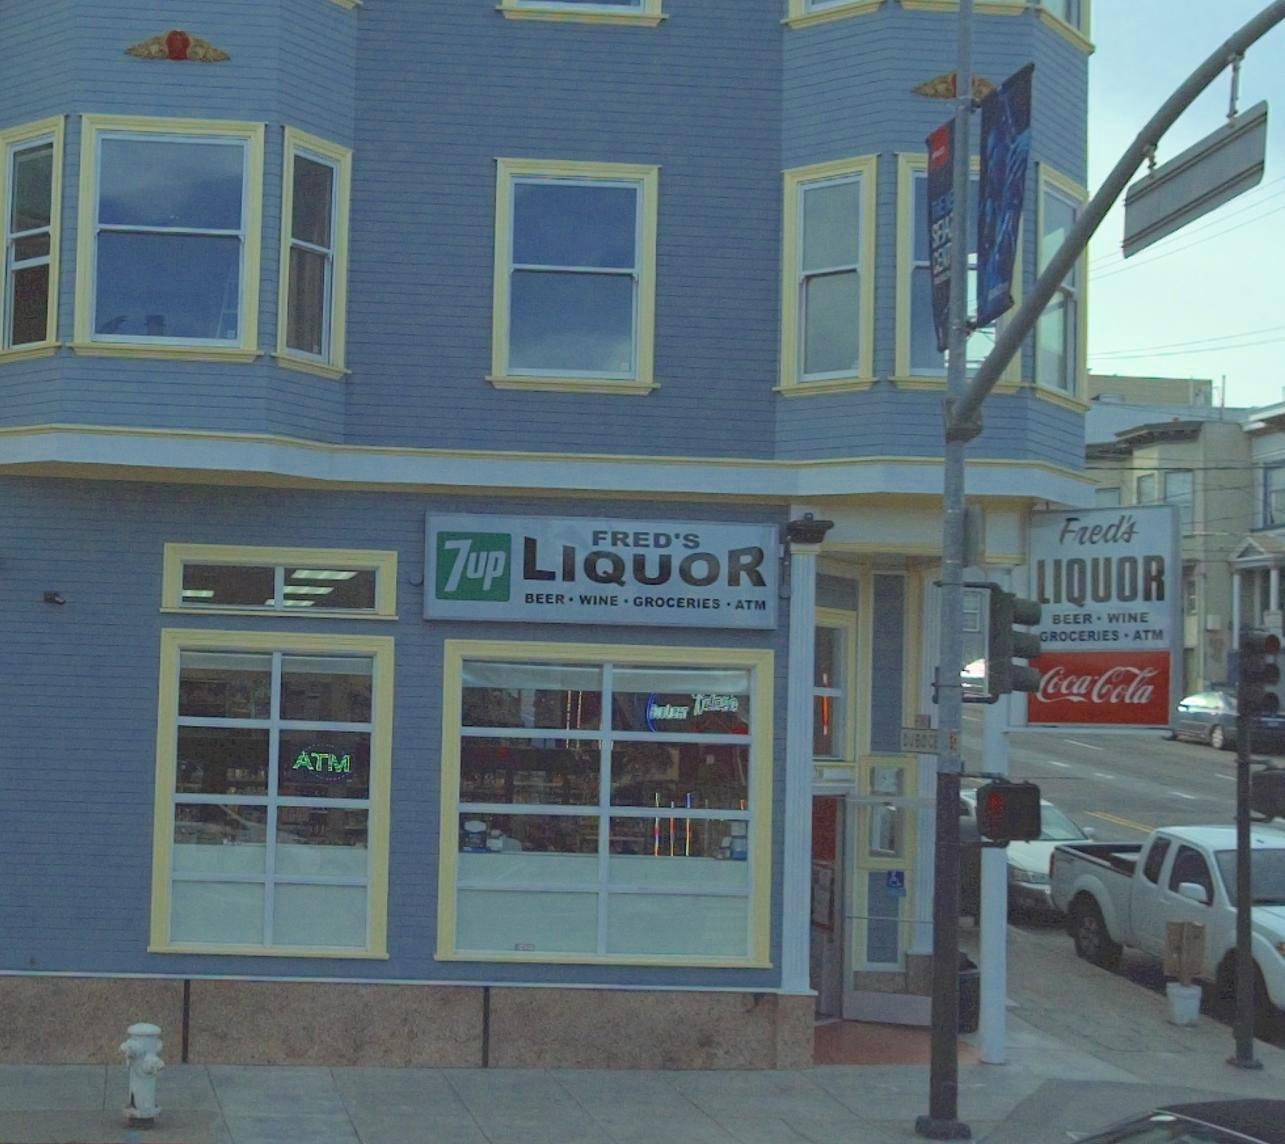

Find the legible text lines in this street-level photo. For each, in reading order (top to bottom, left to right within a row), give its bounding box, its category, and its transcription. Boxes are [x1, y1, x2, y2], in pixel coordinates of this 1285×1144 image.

[589, 527, 702, 552] BusinessName: FRED'S
[1052, 511, 1144, 550] BusinessName: Fred's
[439, 537, 509, 594] None: 7up
[520, 532, 772, 592] BusinessName: LIQUOR
[1033, 551, 1169, 613] BusinessName: LIQUOR
[521, 590, 769, 613] None: BEER * WINE * GROCERIES * ATM
[1049, 608, 1153, 627] None: BEER * WINE
[1036, 626, 1166, 645] None: GROCERIES * ATM
[1030, 661, 1165, 710] None: CocaCola
[949, 731, 958, 753] None: 22
[288, 748, 355, 776] None: ATM